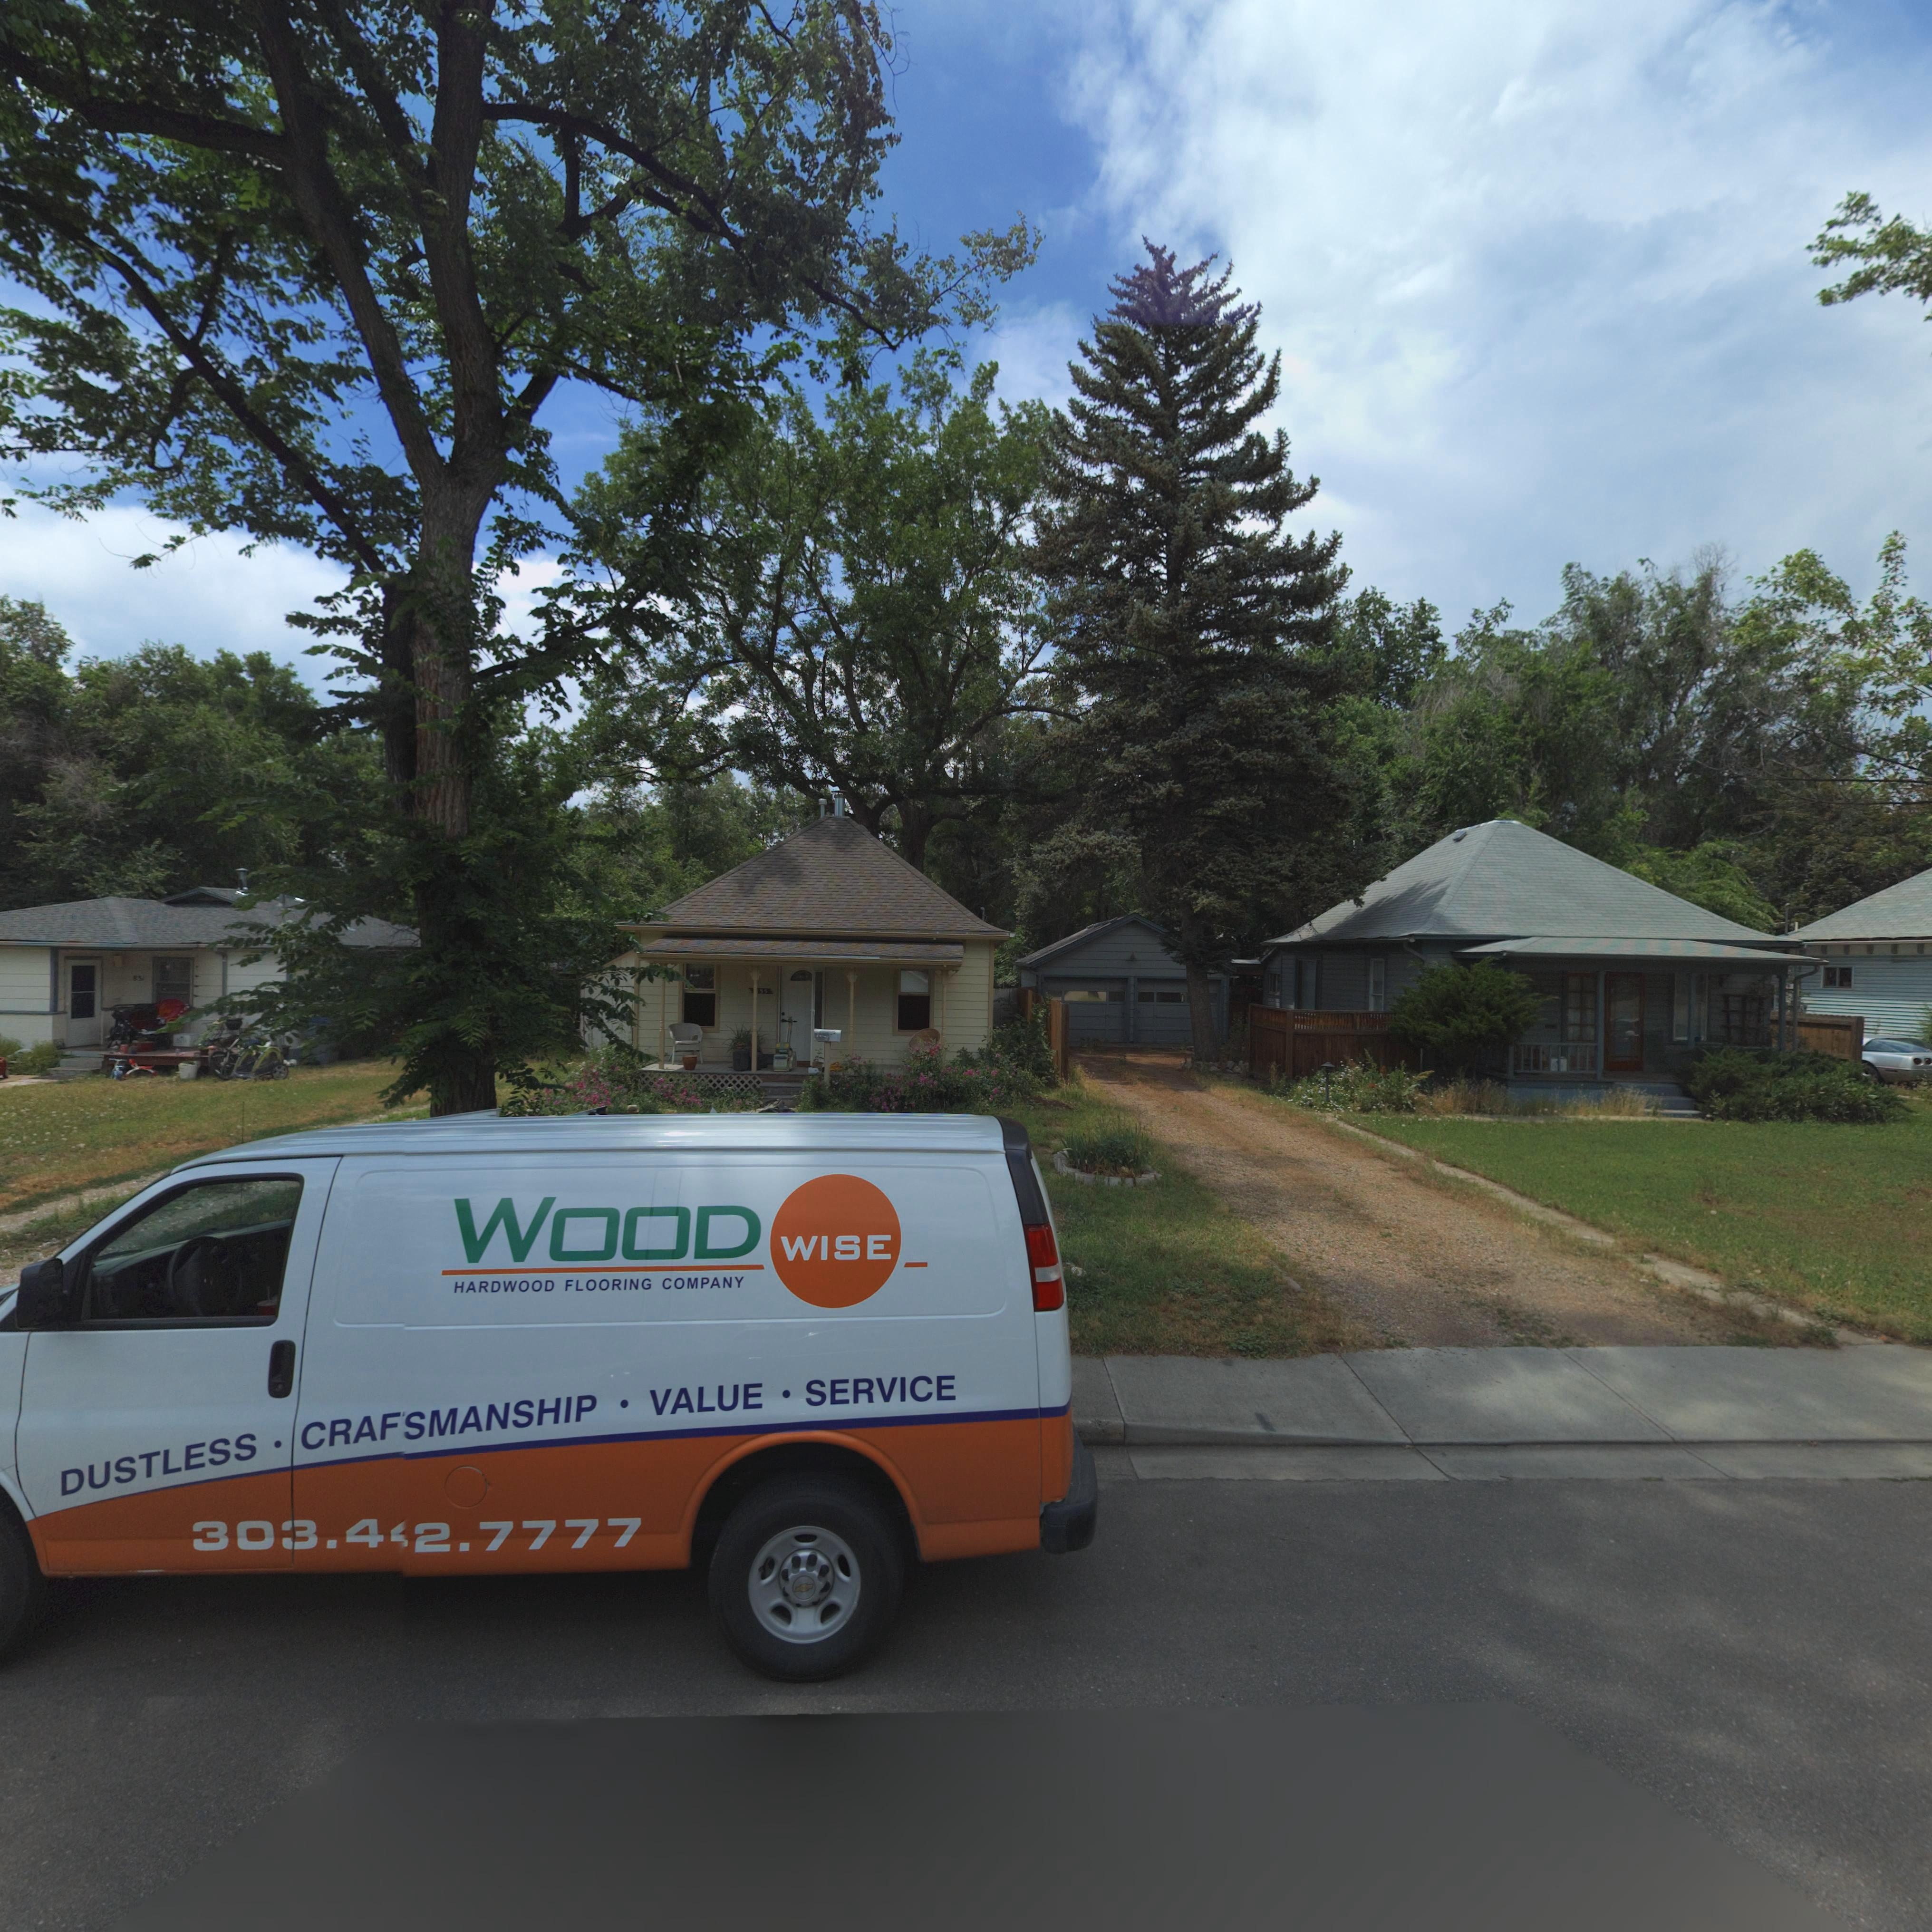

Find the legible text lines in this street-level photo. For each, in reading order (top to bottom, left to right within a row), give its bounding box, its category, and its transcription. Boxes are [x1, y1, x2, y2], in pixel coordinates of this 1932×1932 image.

[132, 974, 145, 981] StreetNumber: *31
[759, 988, 767, 994] StreetNumber: 55